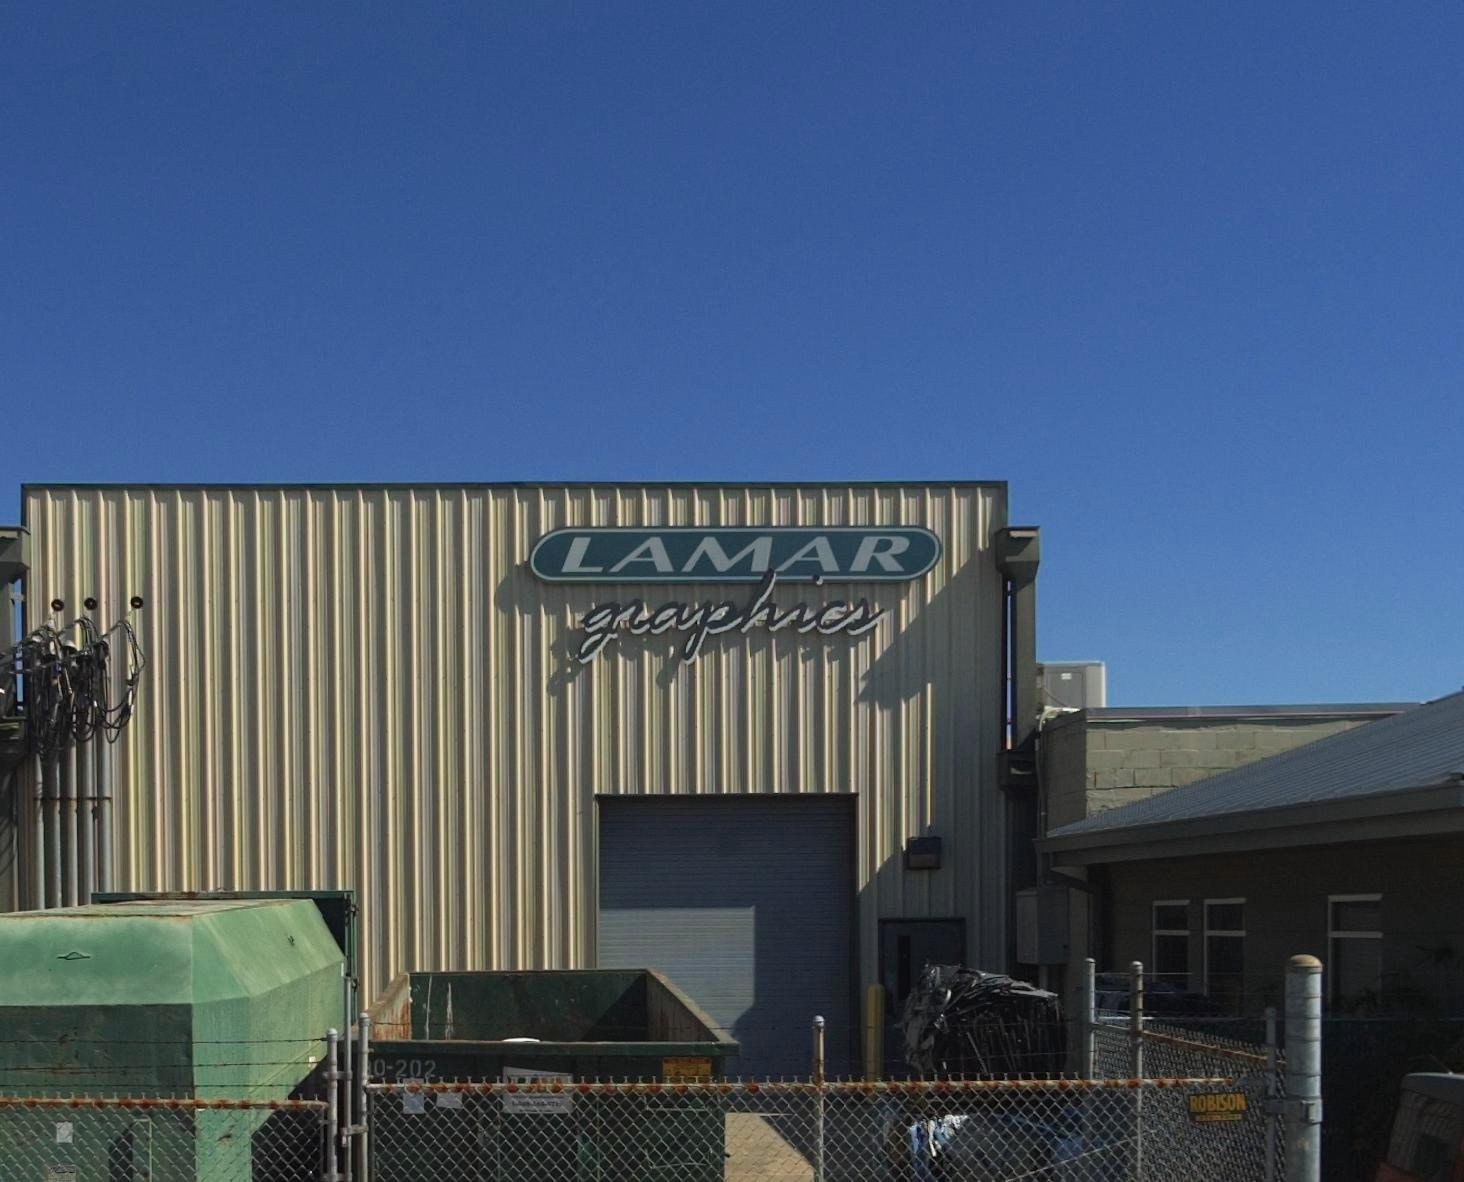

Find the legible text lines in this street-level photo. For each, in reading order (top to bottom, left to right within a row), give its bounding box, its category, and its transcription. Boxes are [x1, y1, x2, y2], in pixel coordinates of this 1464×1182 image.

[554, 533, 914, 577] BusinessName: LAMAR
[570, 565, 889, 671] BusinessName: graphics
[371, 1056, 440, 1081] None: 0-202
[1187, 1091, 1248, 1114] None: ROBISON